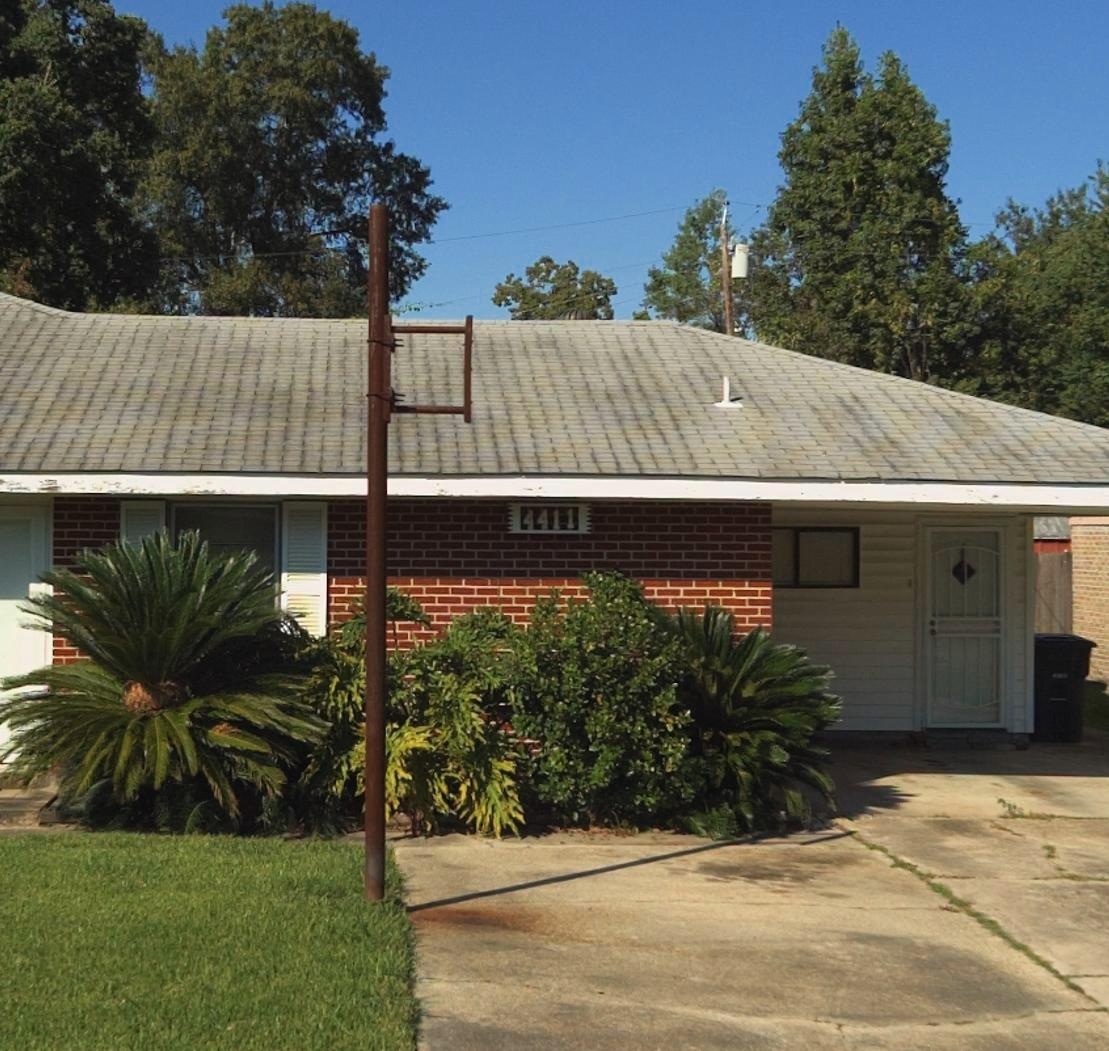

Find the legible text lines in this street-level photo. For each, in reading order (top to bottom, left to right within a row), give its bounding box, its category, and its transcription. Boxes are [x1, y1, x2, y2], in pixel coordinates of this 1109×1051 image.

[522, 509, 575, 531] StreetNumber: 4411